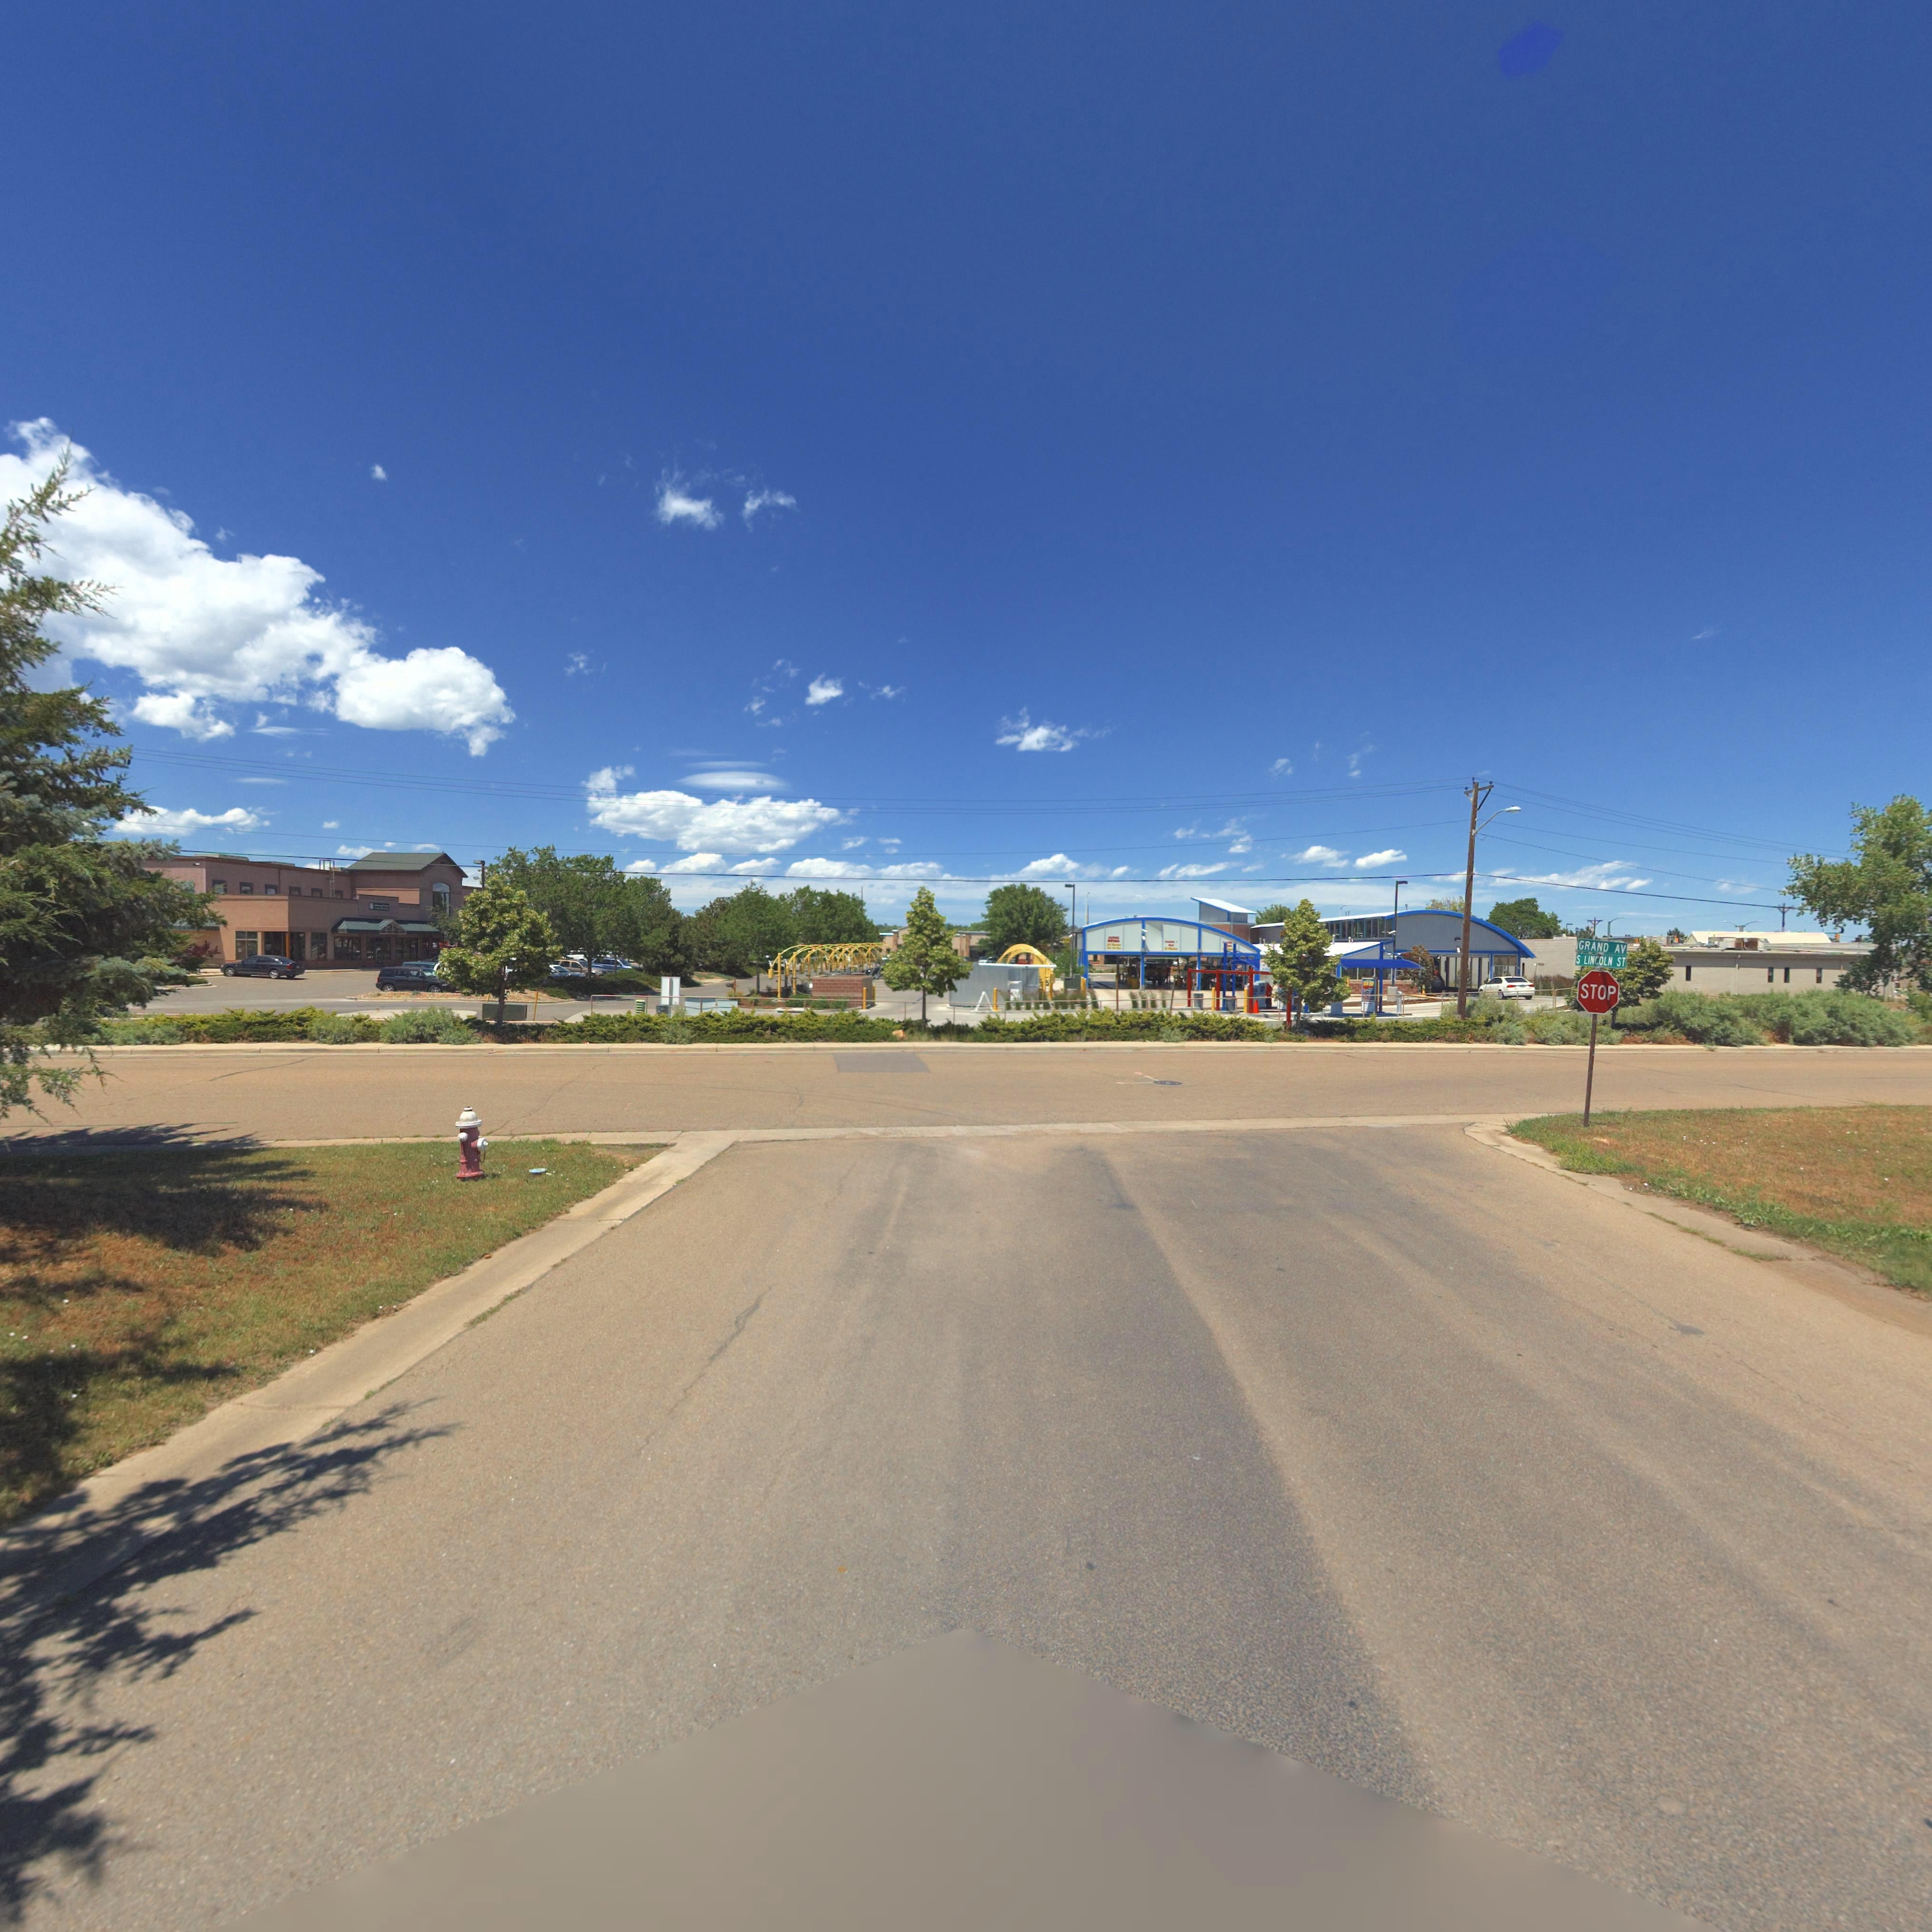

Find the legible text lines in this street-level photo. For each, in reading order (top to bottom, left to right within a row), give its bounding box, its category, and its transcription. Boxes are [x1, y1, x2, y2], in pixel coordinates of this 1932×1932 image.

[373, 903, 389, 907] BusinessName: S****y****
[1578, 939, 1626, 954] StreetName: GRAND AV
[1575, 954, 1626, 966] StreetName: S LINCOLN ST